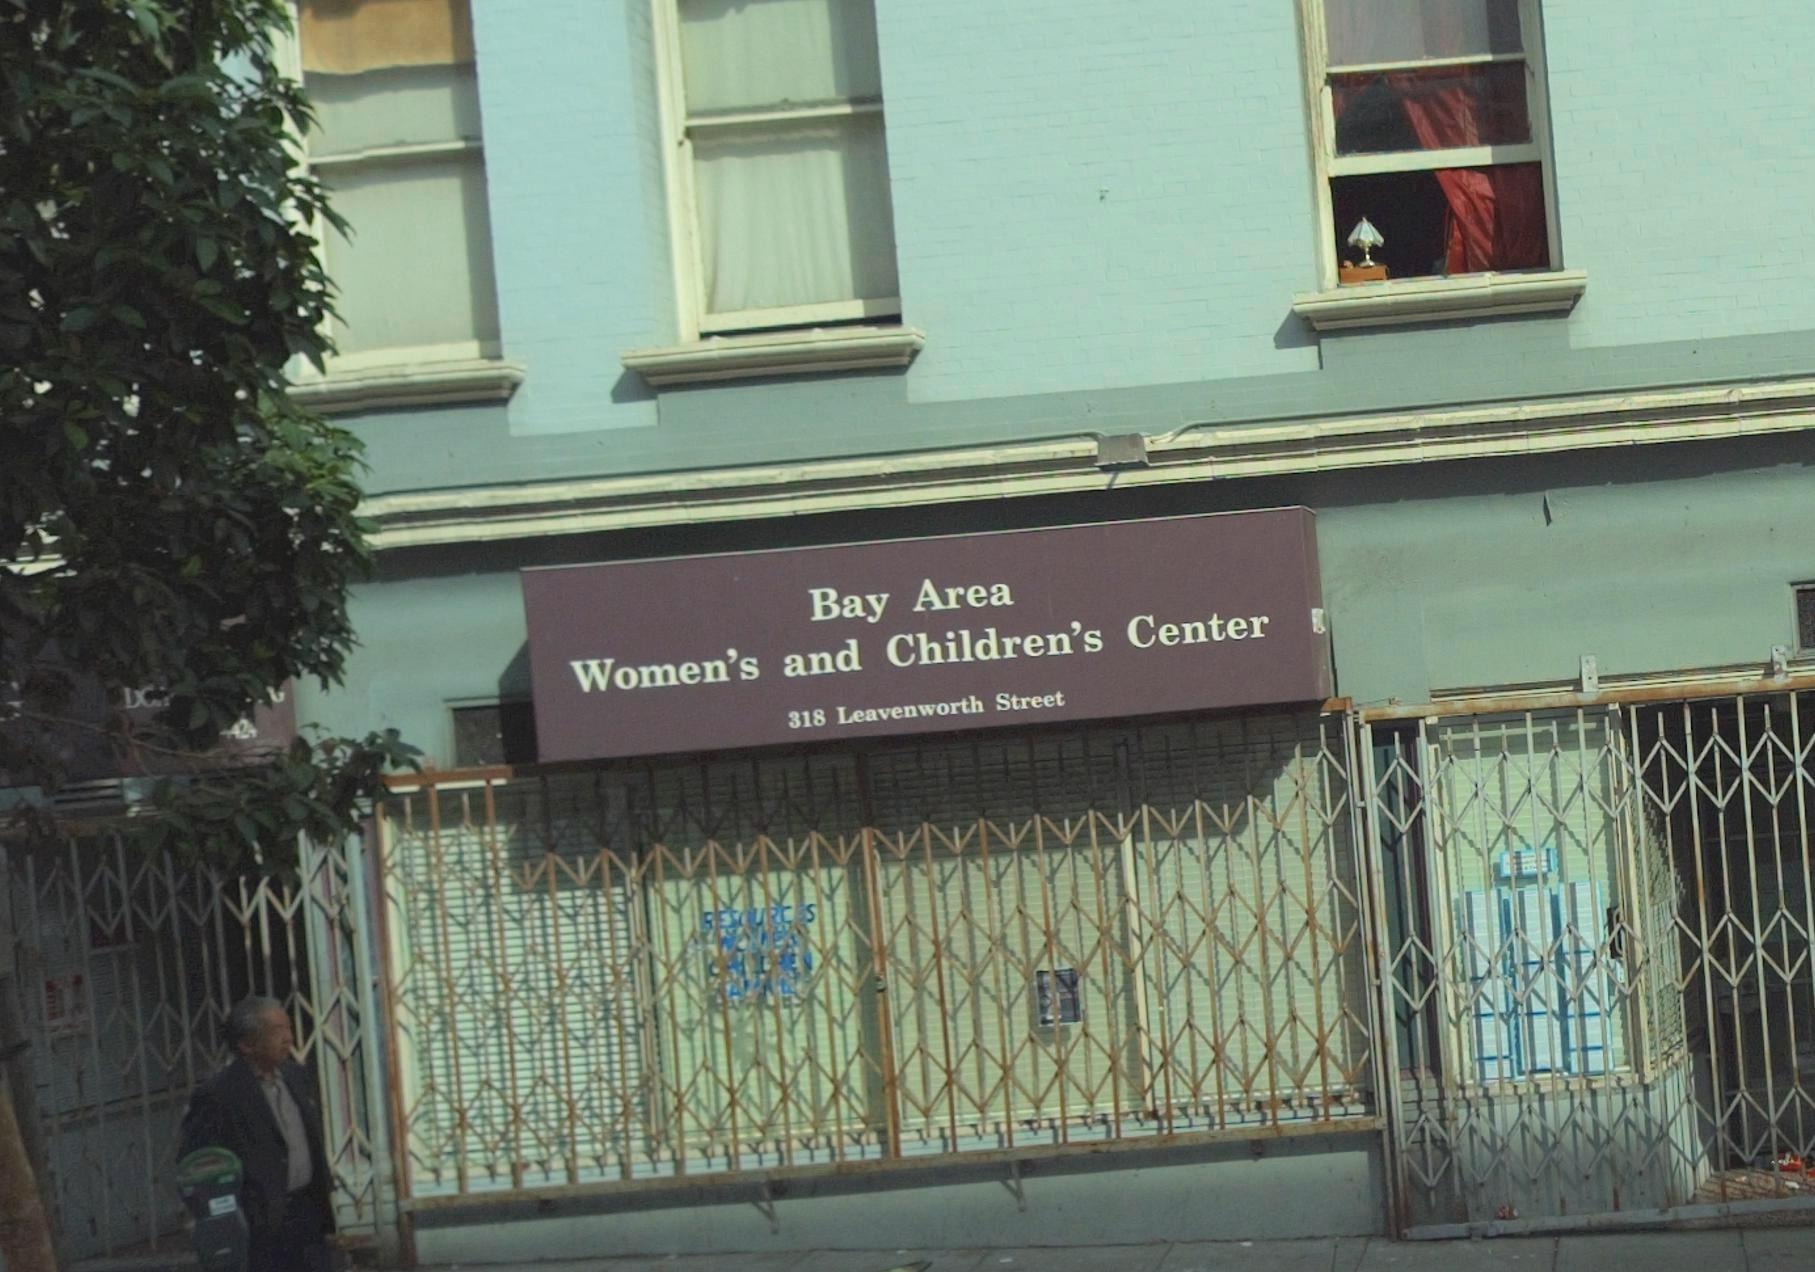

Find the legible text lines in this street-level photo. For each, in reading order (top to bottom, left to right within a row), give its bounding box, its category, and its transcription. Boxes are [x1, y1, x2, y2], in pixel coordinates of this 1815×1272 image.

[802, 571, 1020, 627] BusinessName: Bay Area
[561, 607, 1276, 698] BusinessName: Women's and Children's Center
[785, 706, 829, 731] StreetNumber: 318
[832, 687, 1070, 729] StreetName: Leavenworth Street
[777, 900, 819, 927] None: C*S